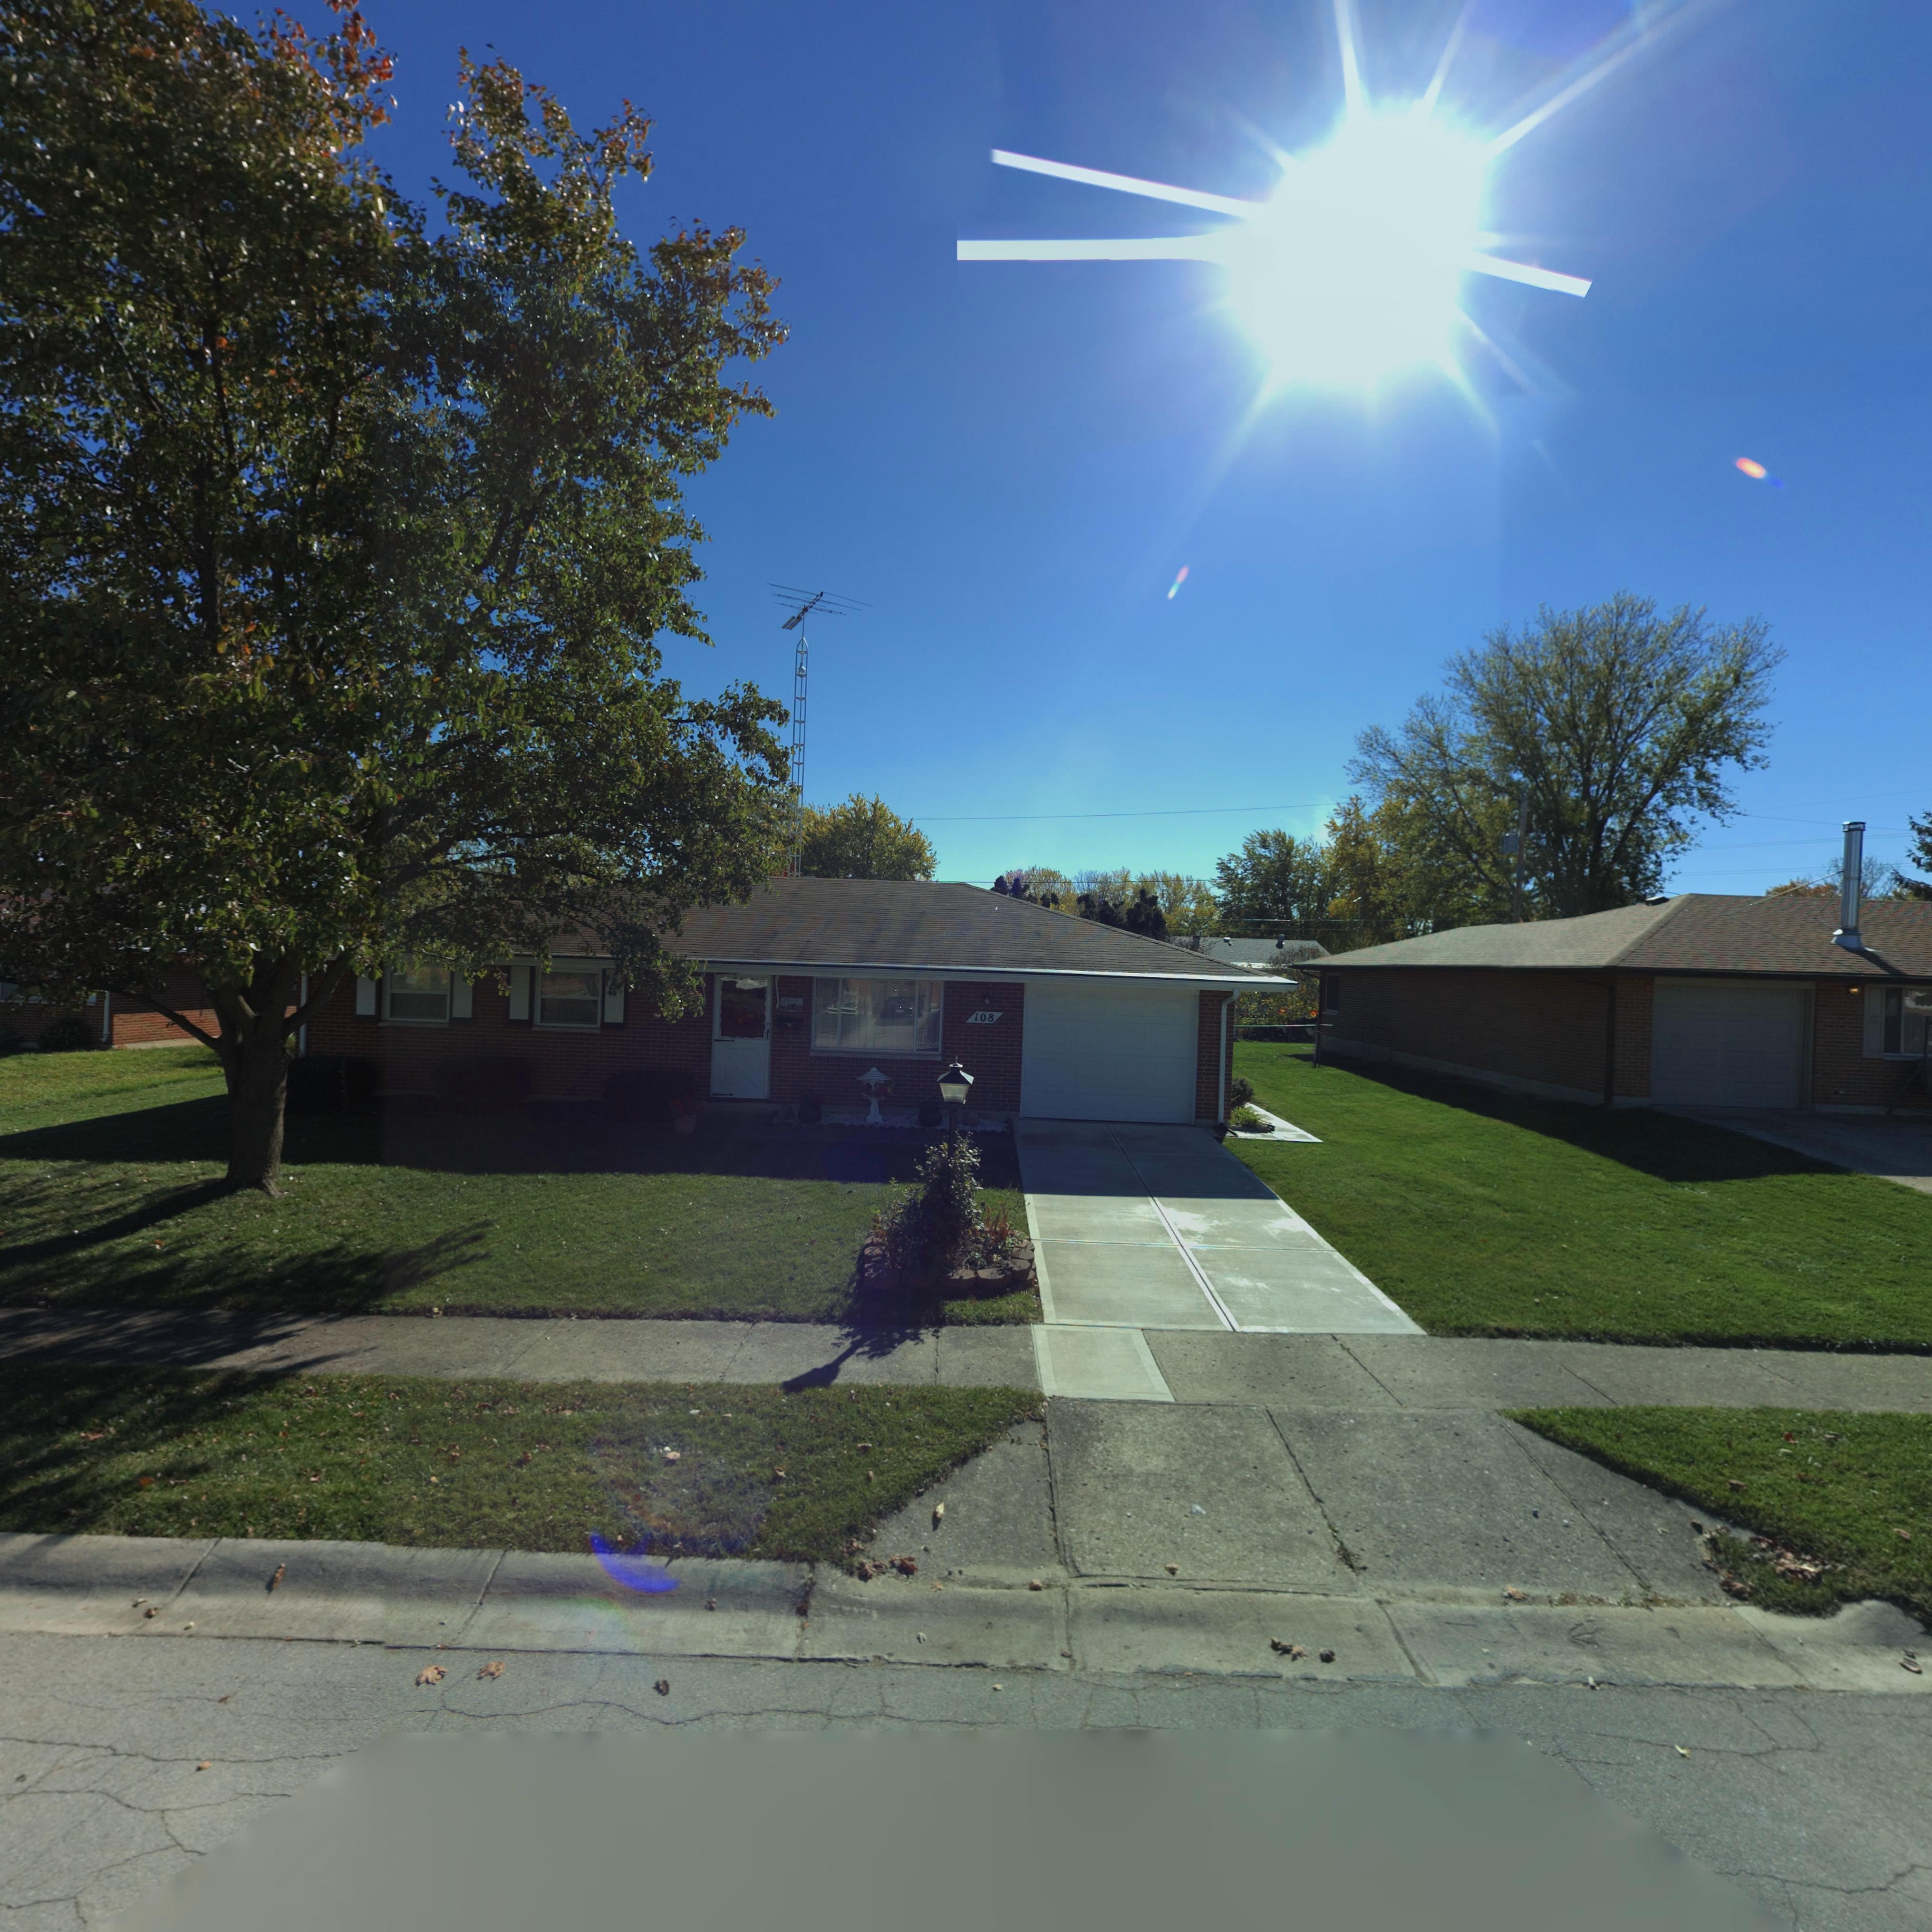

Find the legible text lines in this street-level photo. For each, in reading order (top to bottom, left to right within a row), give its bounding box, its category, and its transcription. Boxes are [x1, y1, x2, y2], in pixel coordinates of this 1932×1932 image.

[974, 1012, 995, 1023] StreetNumber: 108